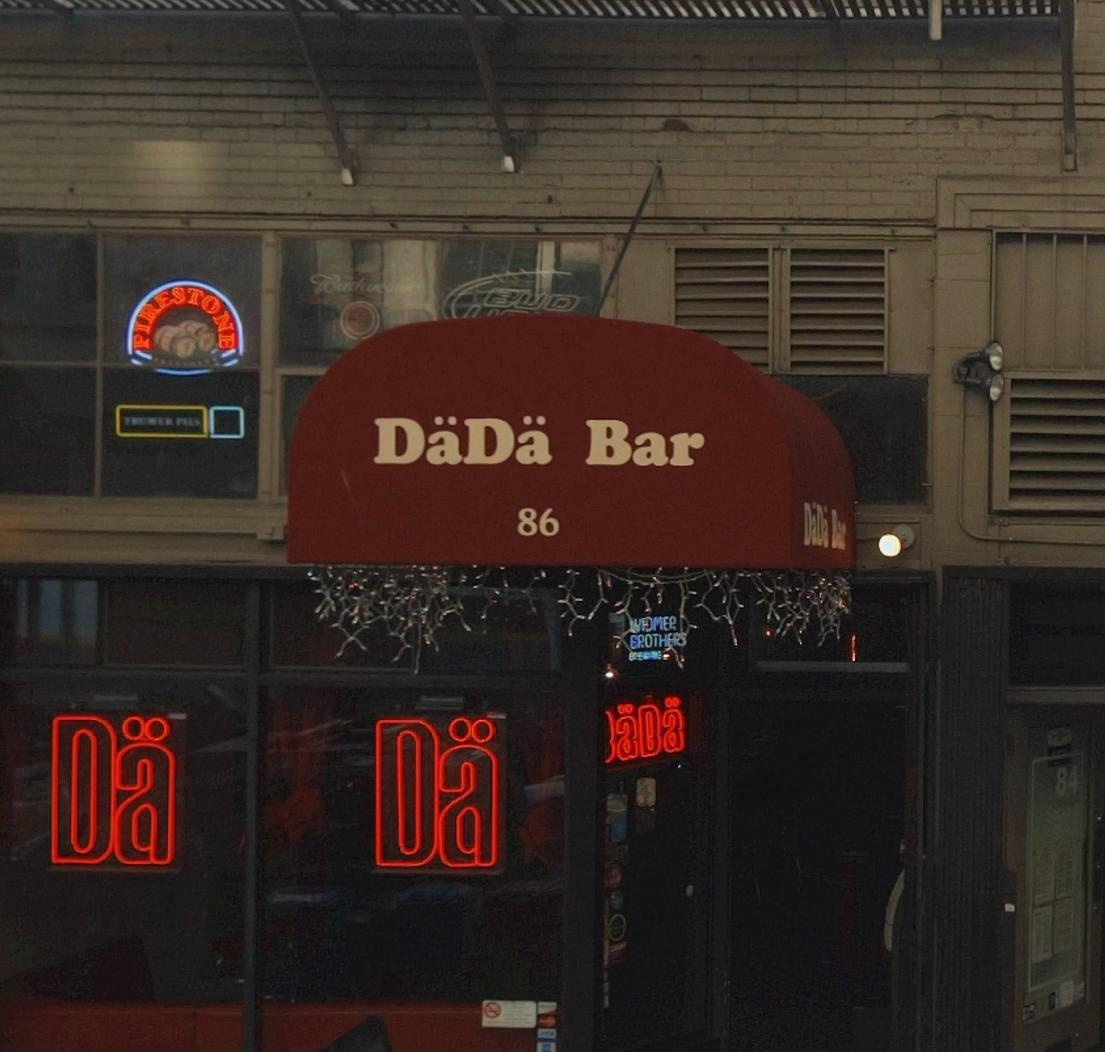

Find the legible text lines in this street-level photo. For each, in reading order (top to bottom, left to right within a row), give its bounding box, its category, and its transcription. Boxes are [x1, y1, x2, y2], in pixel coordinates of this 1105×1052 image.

[132, 285, 238, 352] None: FIRESTONE
[308, 270, 425, 298] None: Budweiser
[480, 286, 585, 313] None: BUD
[371, 413, 708, 470] BusinessName: DaDa Bar
[516, 506, 561, 540] StreetNumber: 86
[801, 491, 848, 551] BusinessName: DaDa Bar
[629, 631, 689, 650] None: BROTHERS
[652, 615, 678, 632] None: MER
[614, 694, 687, 765] BusinessName: aDa
[49, 713, 177, 866] BusinessName: Da
[374, 715, 501, 869] BusinessName: Da
[1054, 762, 1080, 797] StreetNumber: 84